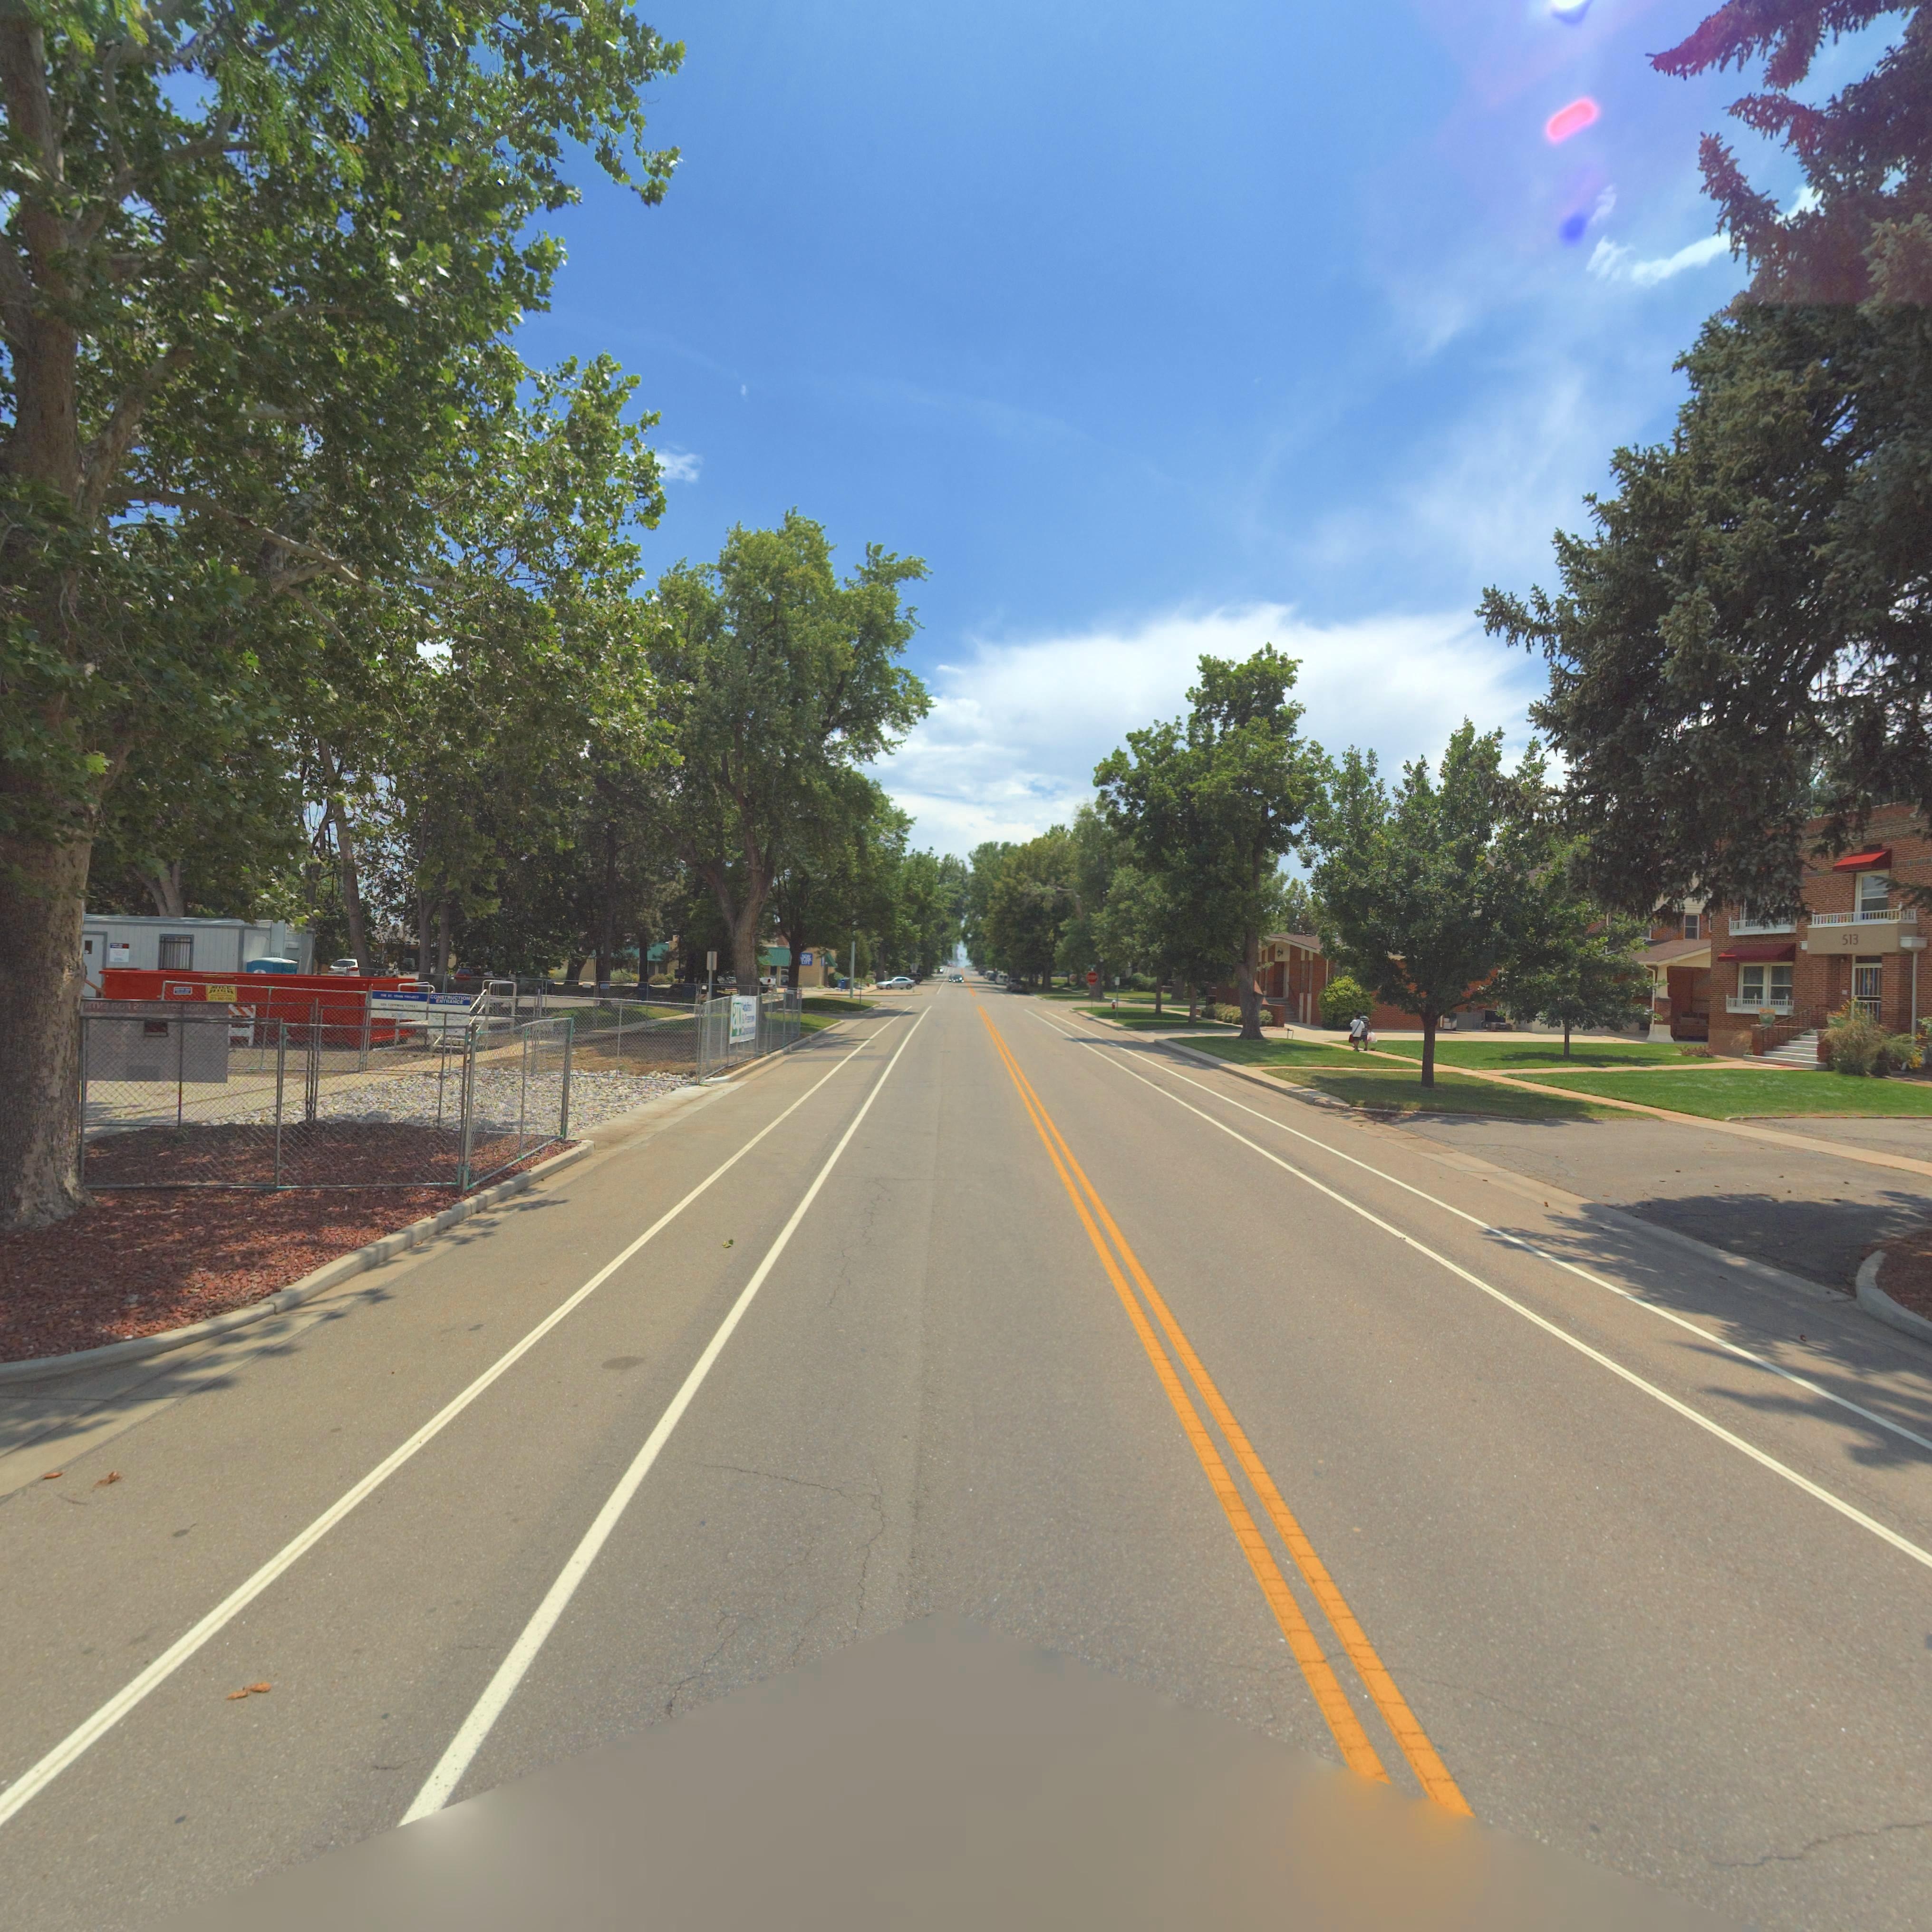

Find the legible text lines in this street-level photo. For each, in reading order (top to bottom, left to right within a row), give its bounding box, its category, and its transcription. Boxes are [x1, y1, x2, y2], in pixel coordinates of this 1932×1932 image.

[1842, 933, 1858, 945] StreetNumber: 513
[802, 954, 811, 957] BusinessName: NEW
[800, 957, 811, 961] BusinessName: YORK
[801, 960, 810, 964] BusinessName: LIFE